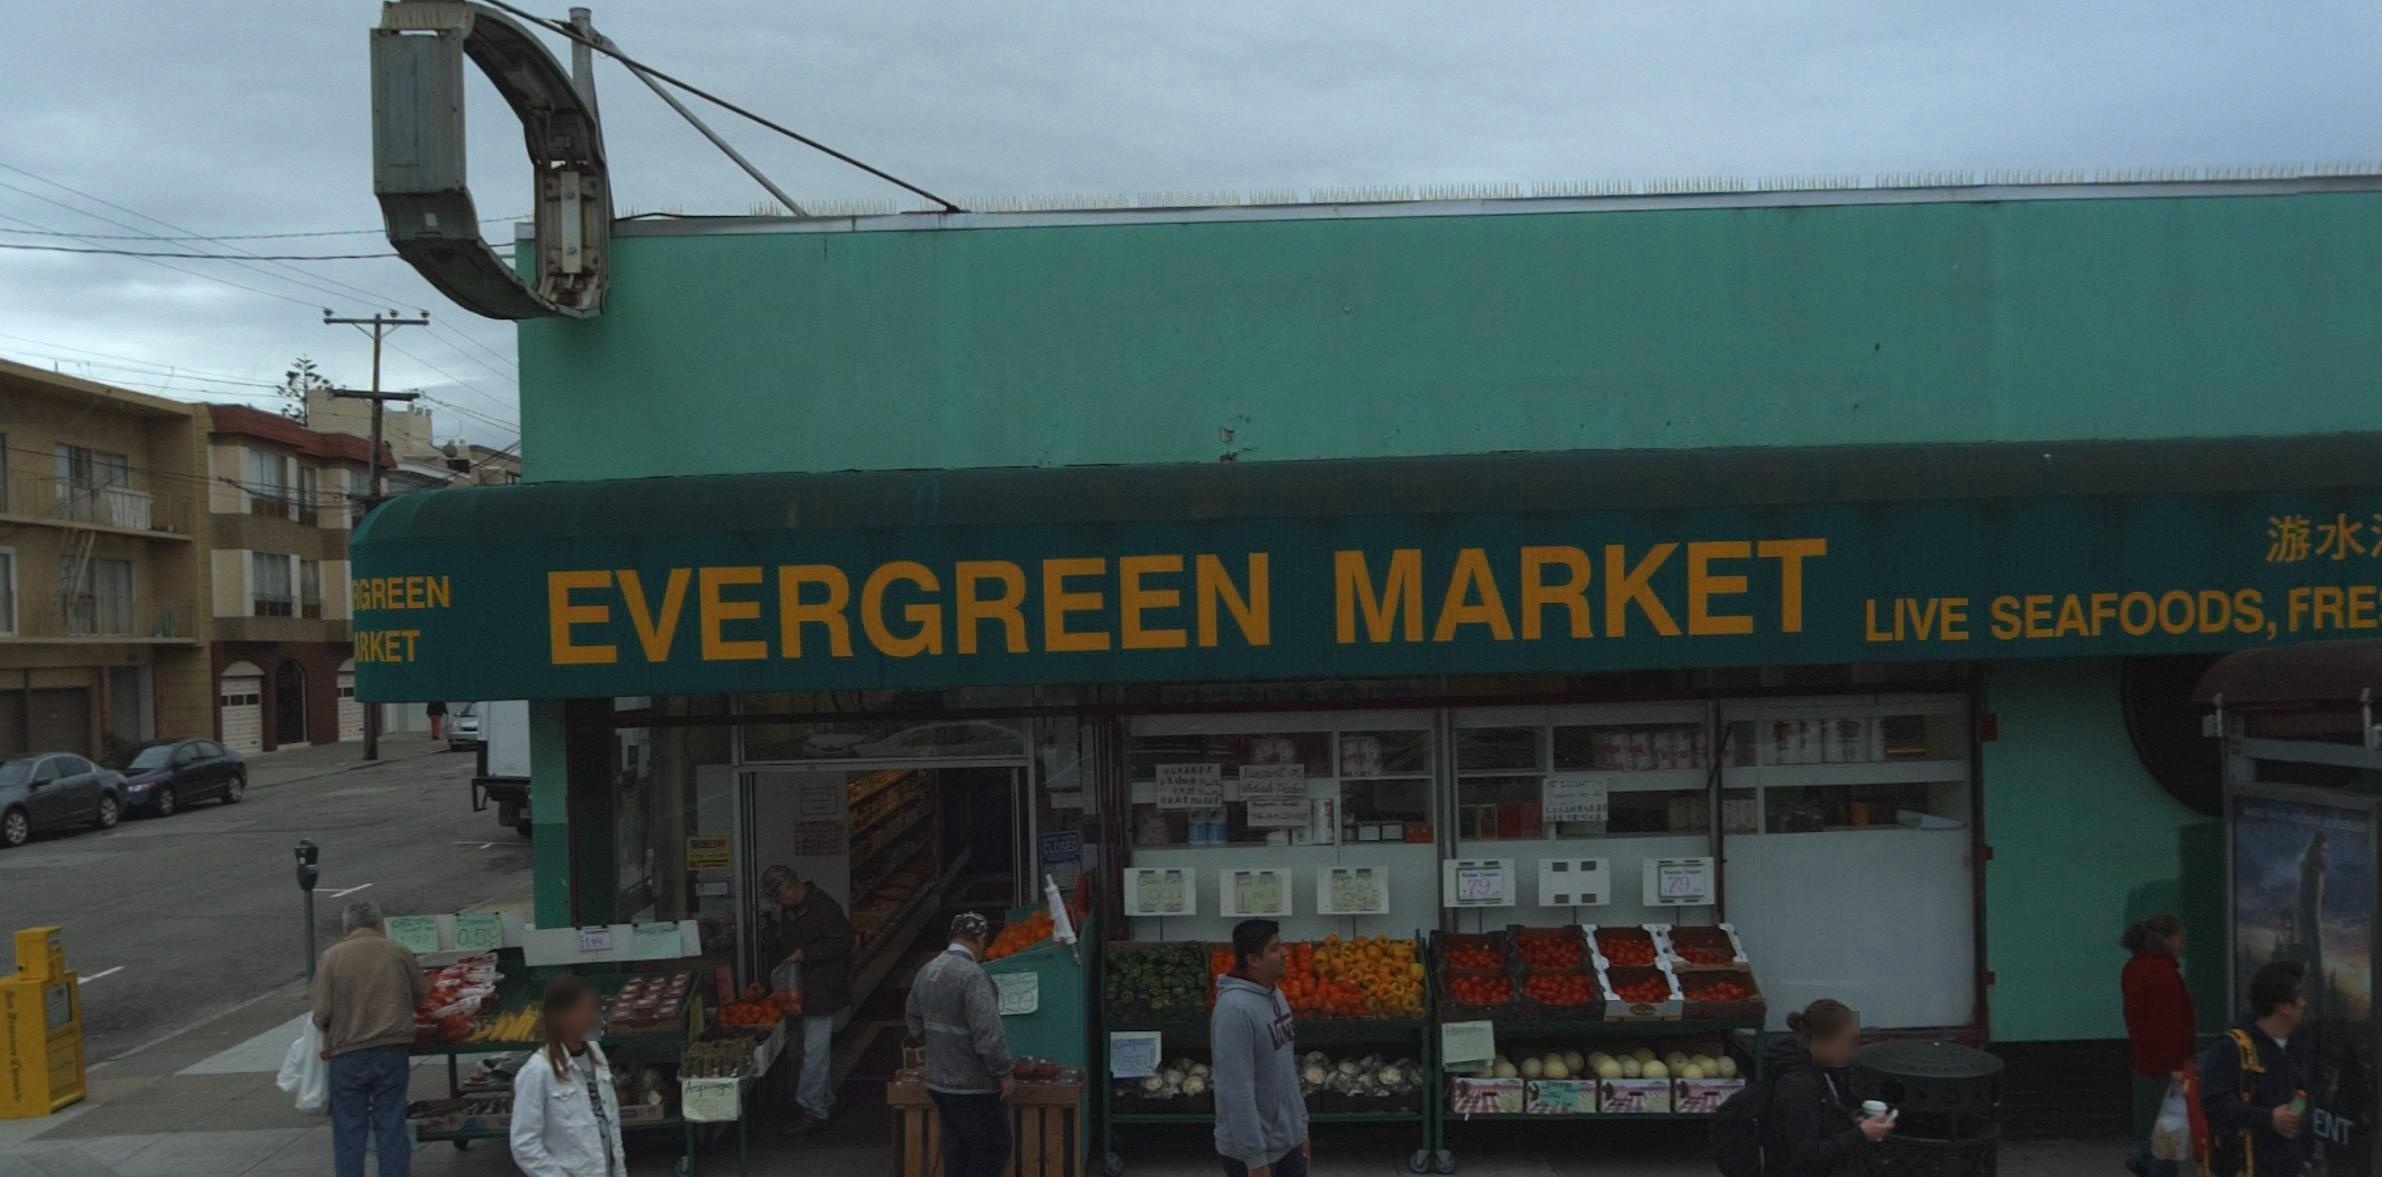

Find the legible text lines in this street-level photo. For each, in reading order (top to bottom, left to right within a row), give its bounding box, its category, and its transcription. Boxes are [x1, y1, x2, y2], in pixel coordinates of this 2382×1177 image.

[370, 572, 453, 613] BusinessName: REEN
[538, 530, 1834, 674] BusinessName: EVERGREEN MARKET
[1863, 581, 2381, 646] None: LIVE SEAFOOD, FRE
[368, 627, 423, 665] BusinessName: KET
[1040, 836, 1081, 857] None: CLOSED
[1147, 884, 1178, 911] None: 99
[1239, 891, 1247, 911] None: 1
[1340, 887, 1370, 913] None: 99
[1466, 875, 1493, 899] None: 79
[1666, 874, 1693, 896] None: 79
[409, 933, 425, 948] None: 7
[453, 923, 503, 950] None: 0.59
[1004, 986, 1036, 1016] None: 99
[1279, 1020, 1295, 1047] None: N
[1120, 1051, 1151, 1076] None: 59
[682, 1078, 696, 1097] None: A
[2310, 1103, 2357, 1151] None: ENT